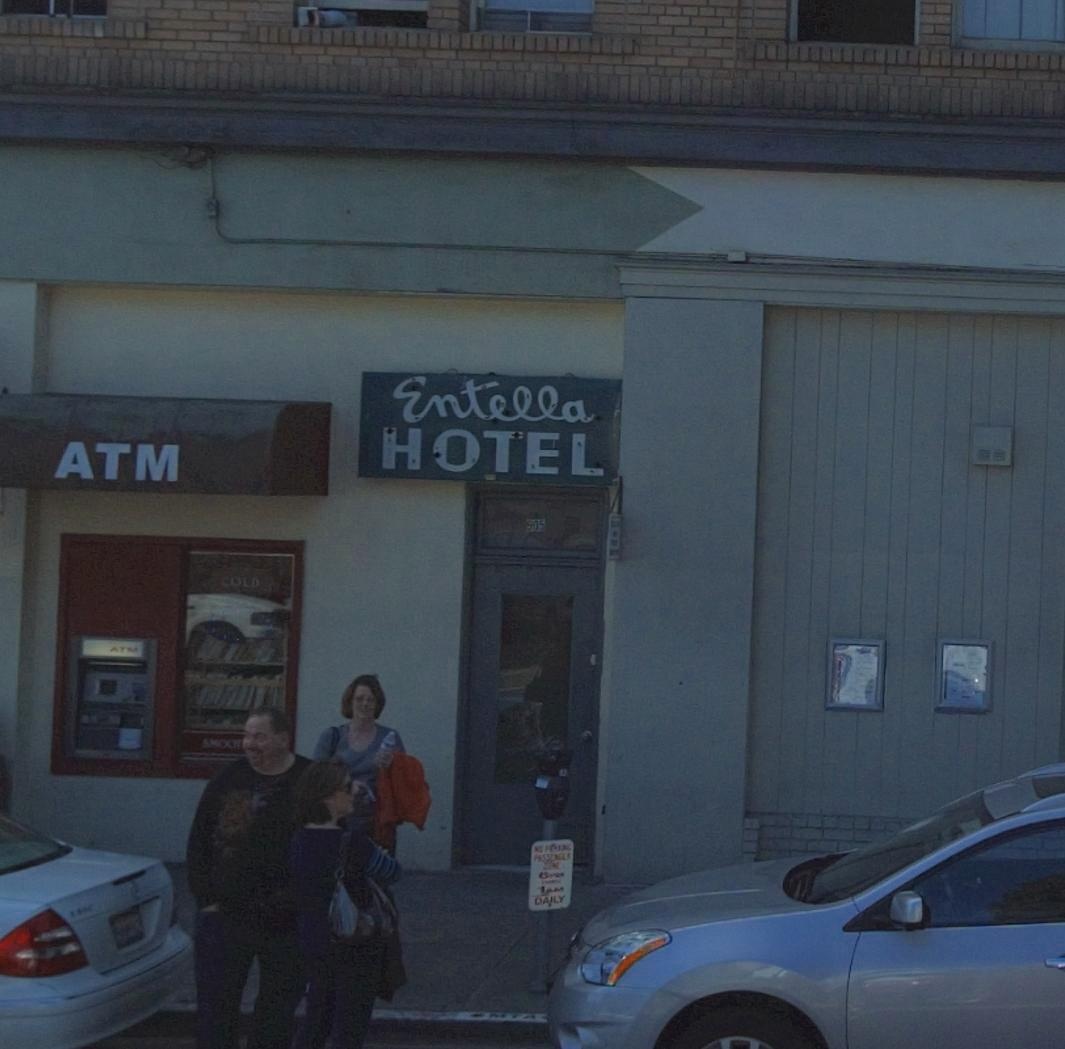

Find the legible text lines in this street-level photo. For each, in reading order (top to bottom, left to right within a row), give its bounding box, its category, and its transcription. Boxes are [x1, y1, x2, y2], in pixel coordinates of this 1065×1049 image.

[389, 374, 597, 428] BusinessName: Entella
[379, 424, 607, 478] BusinessName: HOTEL
[49, 439, 182, 484] None: ATM
[525, 519, 546, 531] StreetNumber: 905
[219, 574, 261, 589] None: COLD
[108, 644, 140, 654] None: ATM
[200, 737, 243, 752] None: **OO*
[536, 884, 566, 895] None: 1AM
[532, 892, 567, 908] None: DAILY